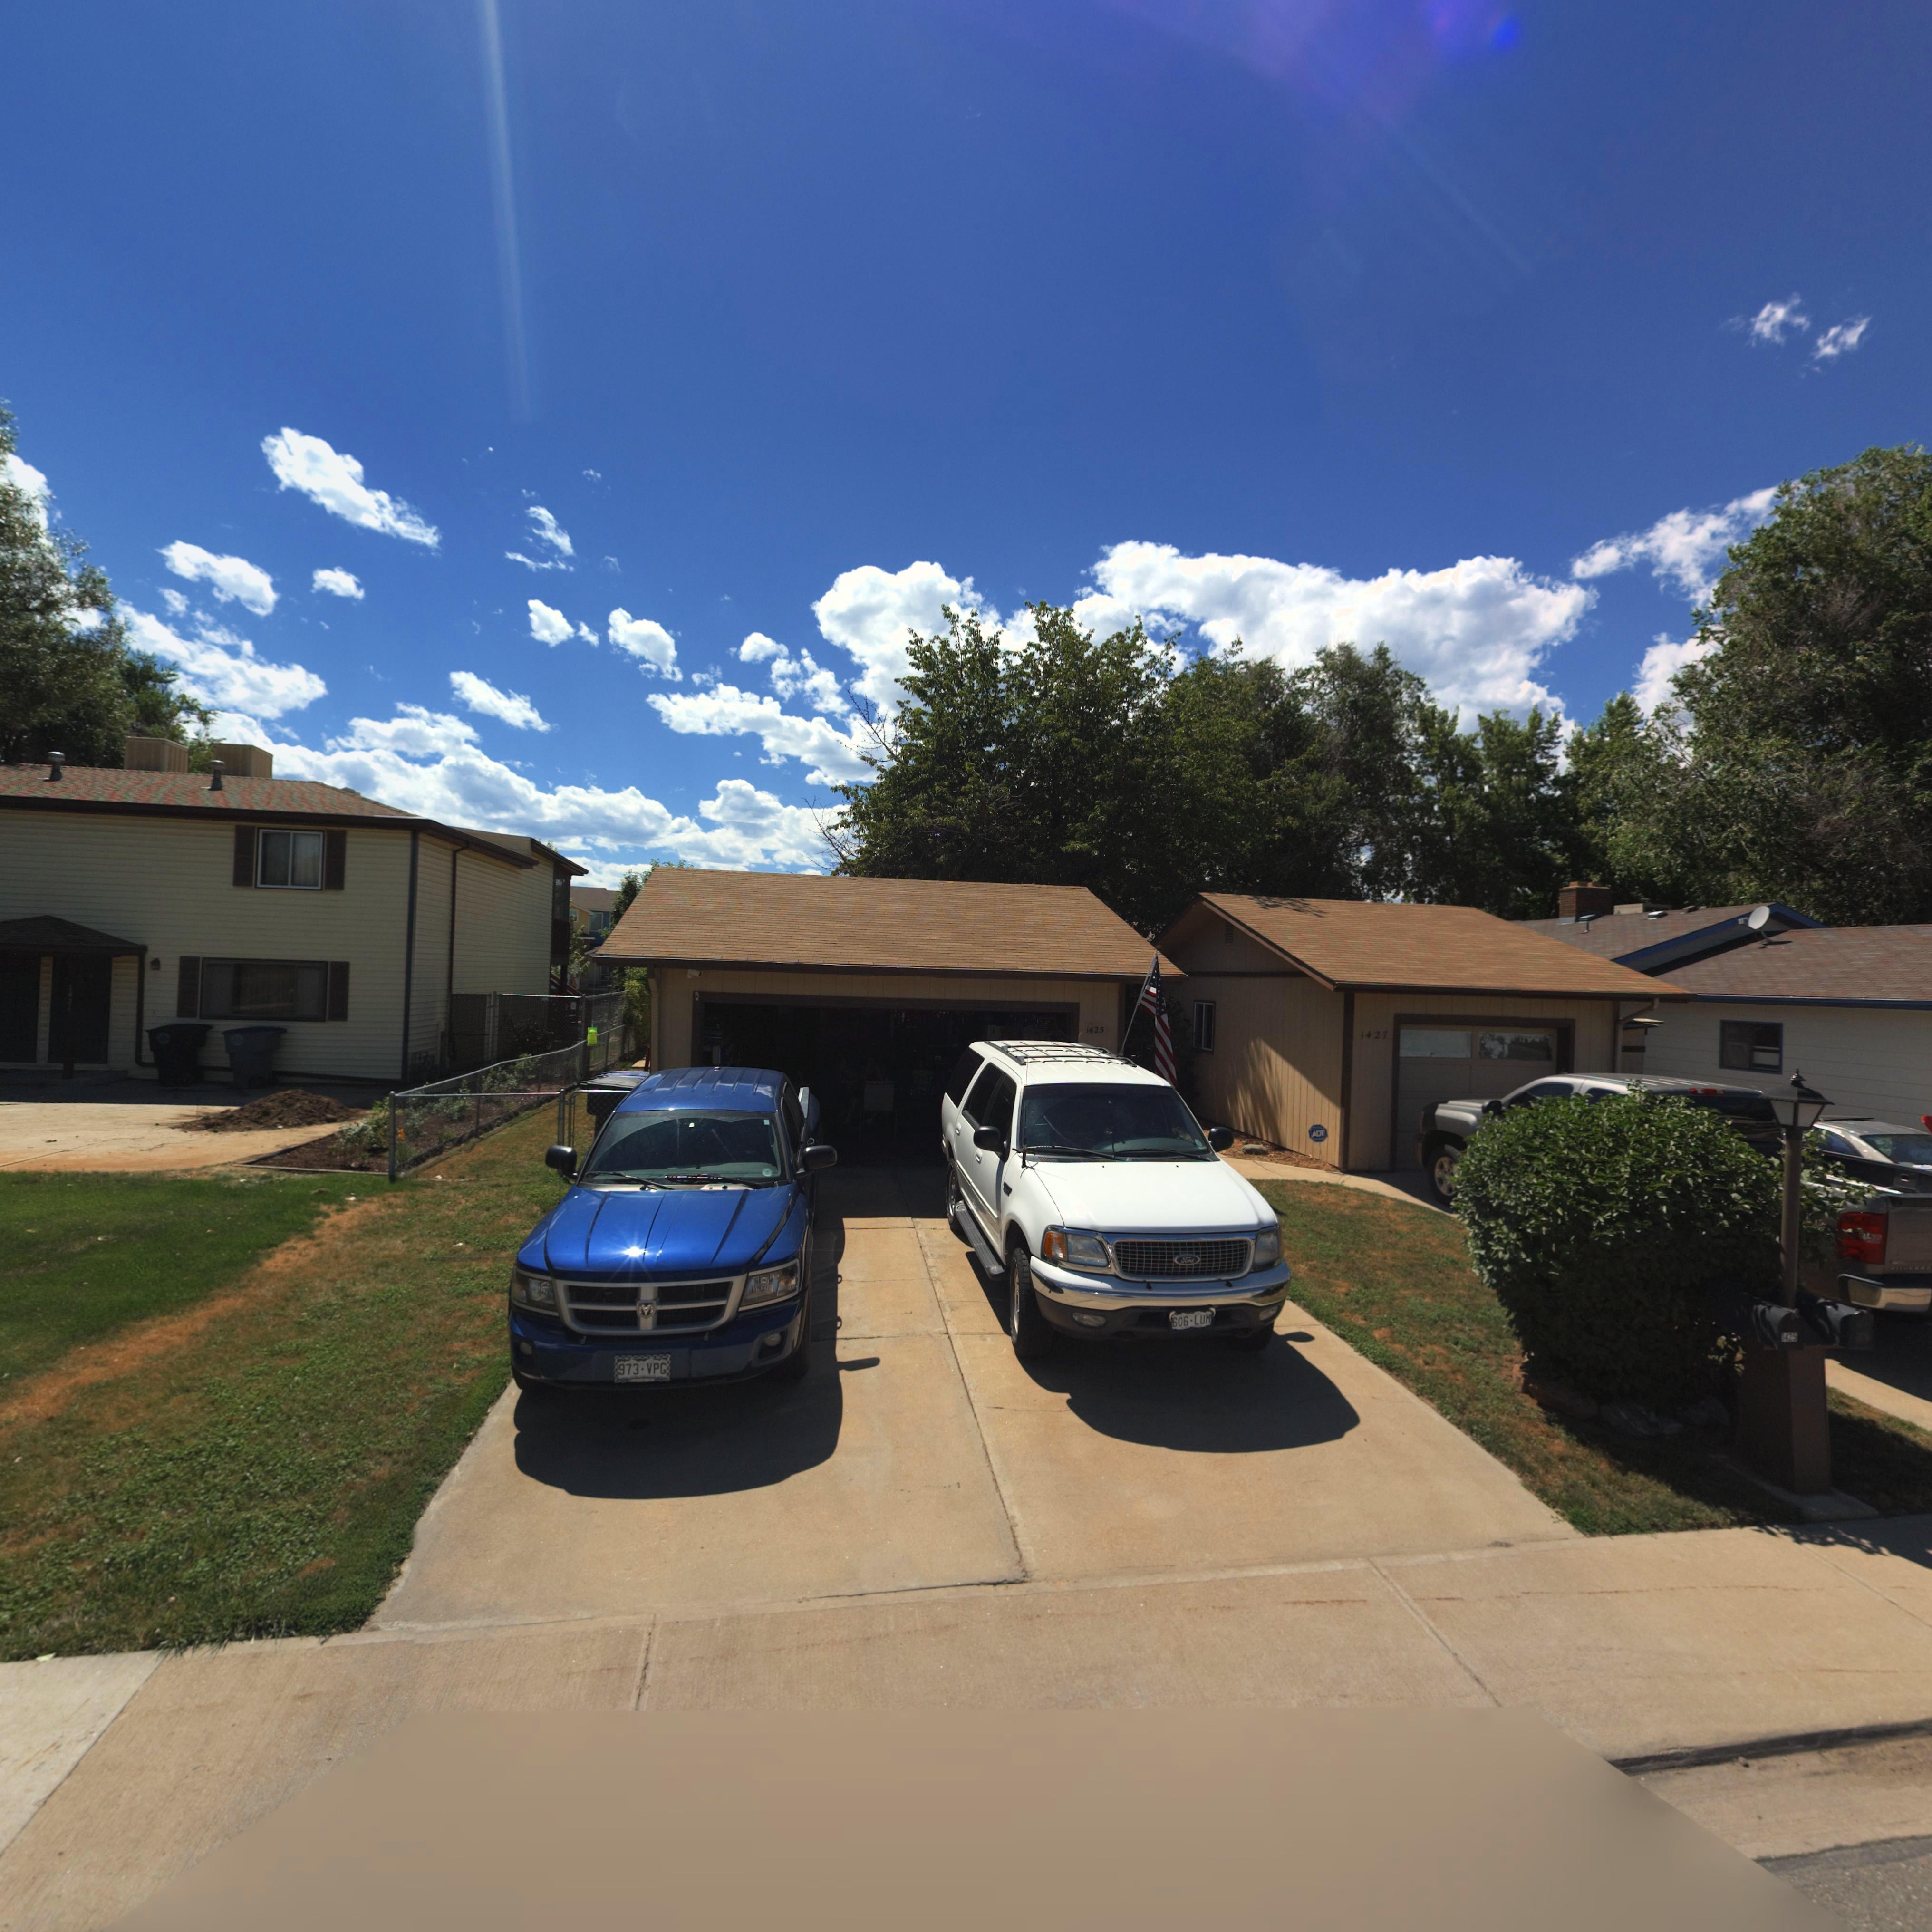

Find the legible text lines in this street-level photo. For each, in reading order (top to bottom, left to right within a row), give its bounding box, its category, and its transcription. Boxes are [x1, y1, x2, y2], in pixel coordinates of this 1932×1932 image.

[1361, 1030, 1389, 1039] StreetNumber: 1427